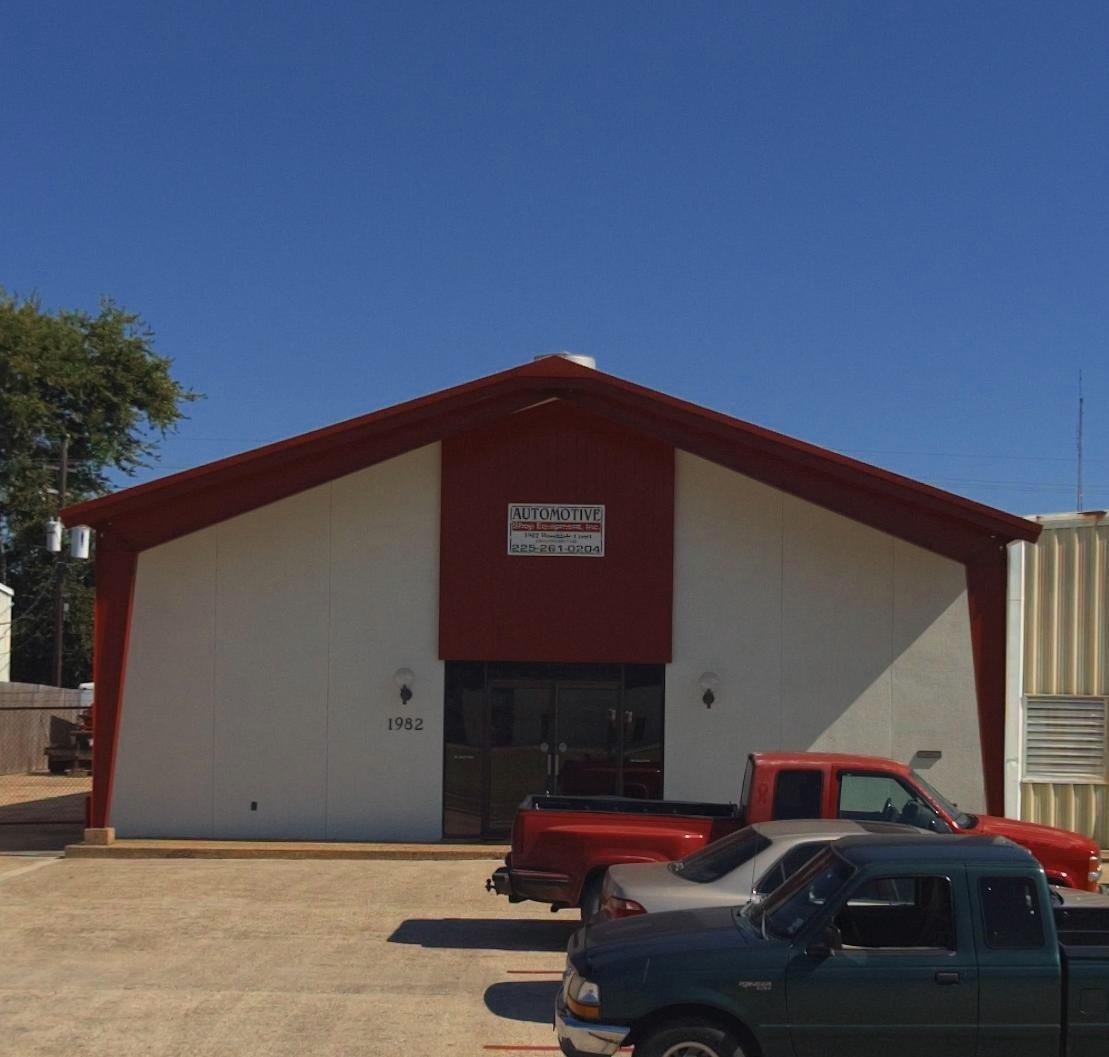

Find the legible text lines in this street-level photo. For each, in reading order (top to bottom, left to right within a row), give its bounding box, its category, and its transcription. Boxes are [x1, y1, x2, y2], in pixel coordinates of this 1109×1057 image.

[508, 505, 604, 524] BusinessName: Automotive
[510, 542, 603, 555] None: 225*261*0204
[386, 714, 427, 733] StreetNumber: 1982